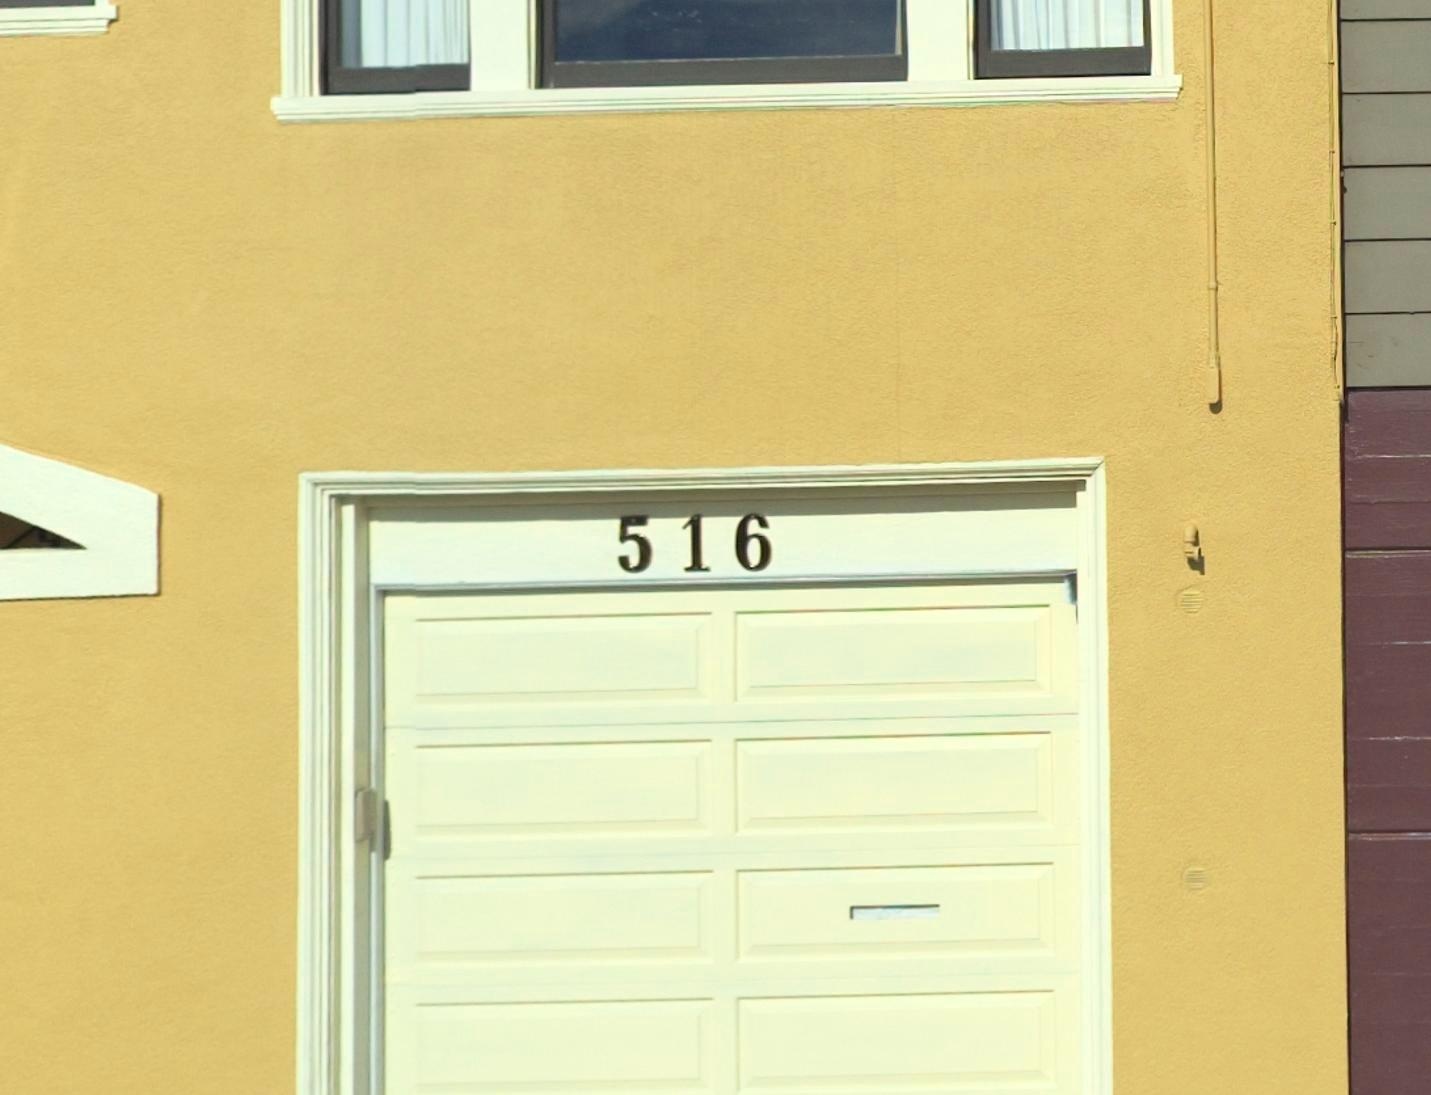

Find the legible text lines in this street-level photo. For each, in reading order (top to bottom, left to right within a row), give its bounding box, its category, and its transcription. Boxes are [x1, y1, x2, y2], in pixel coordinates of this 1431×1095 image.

[615, 511, 774, 575] StreetNumber: 516